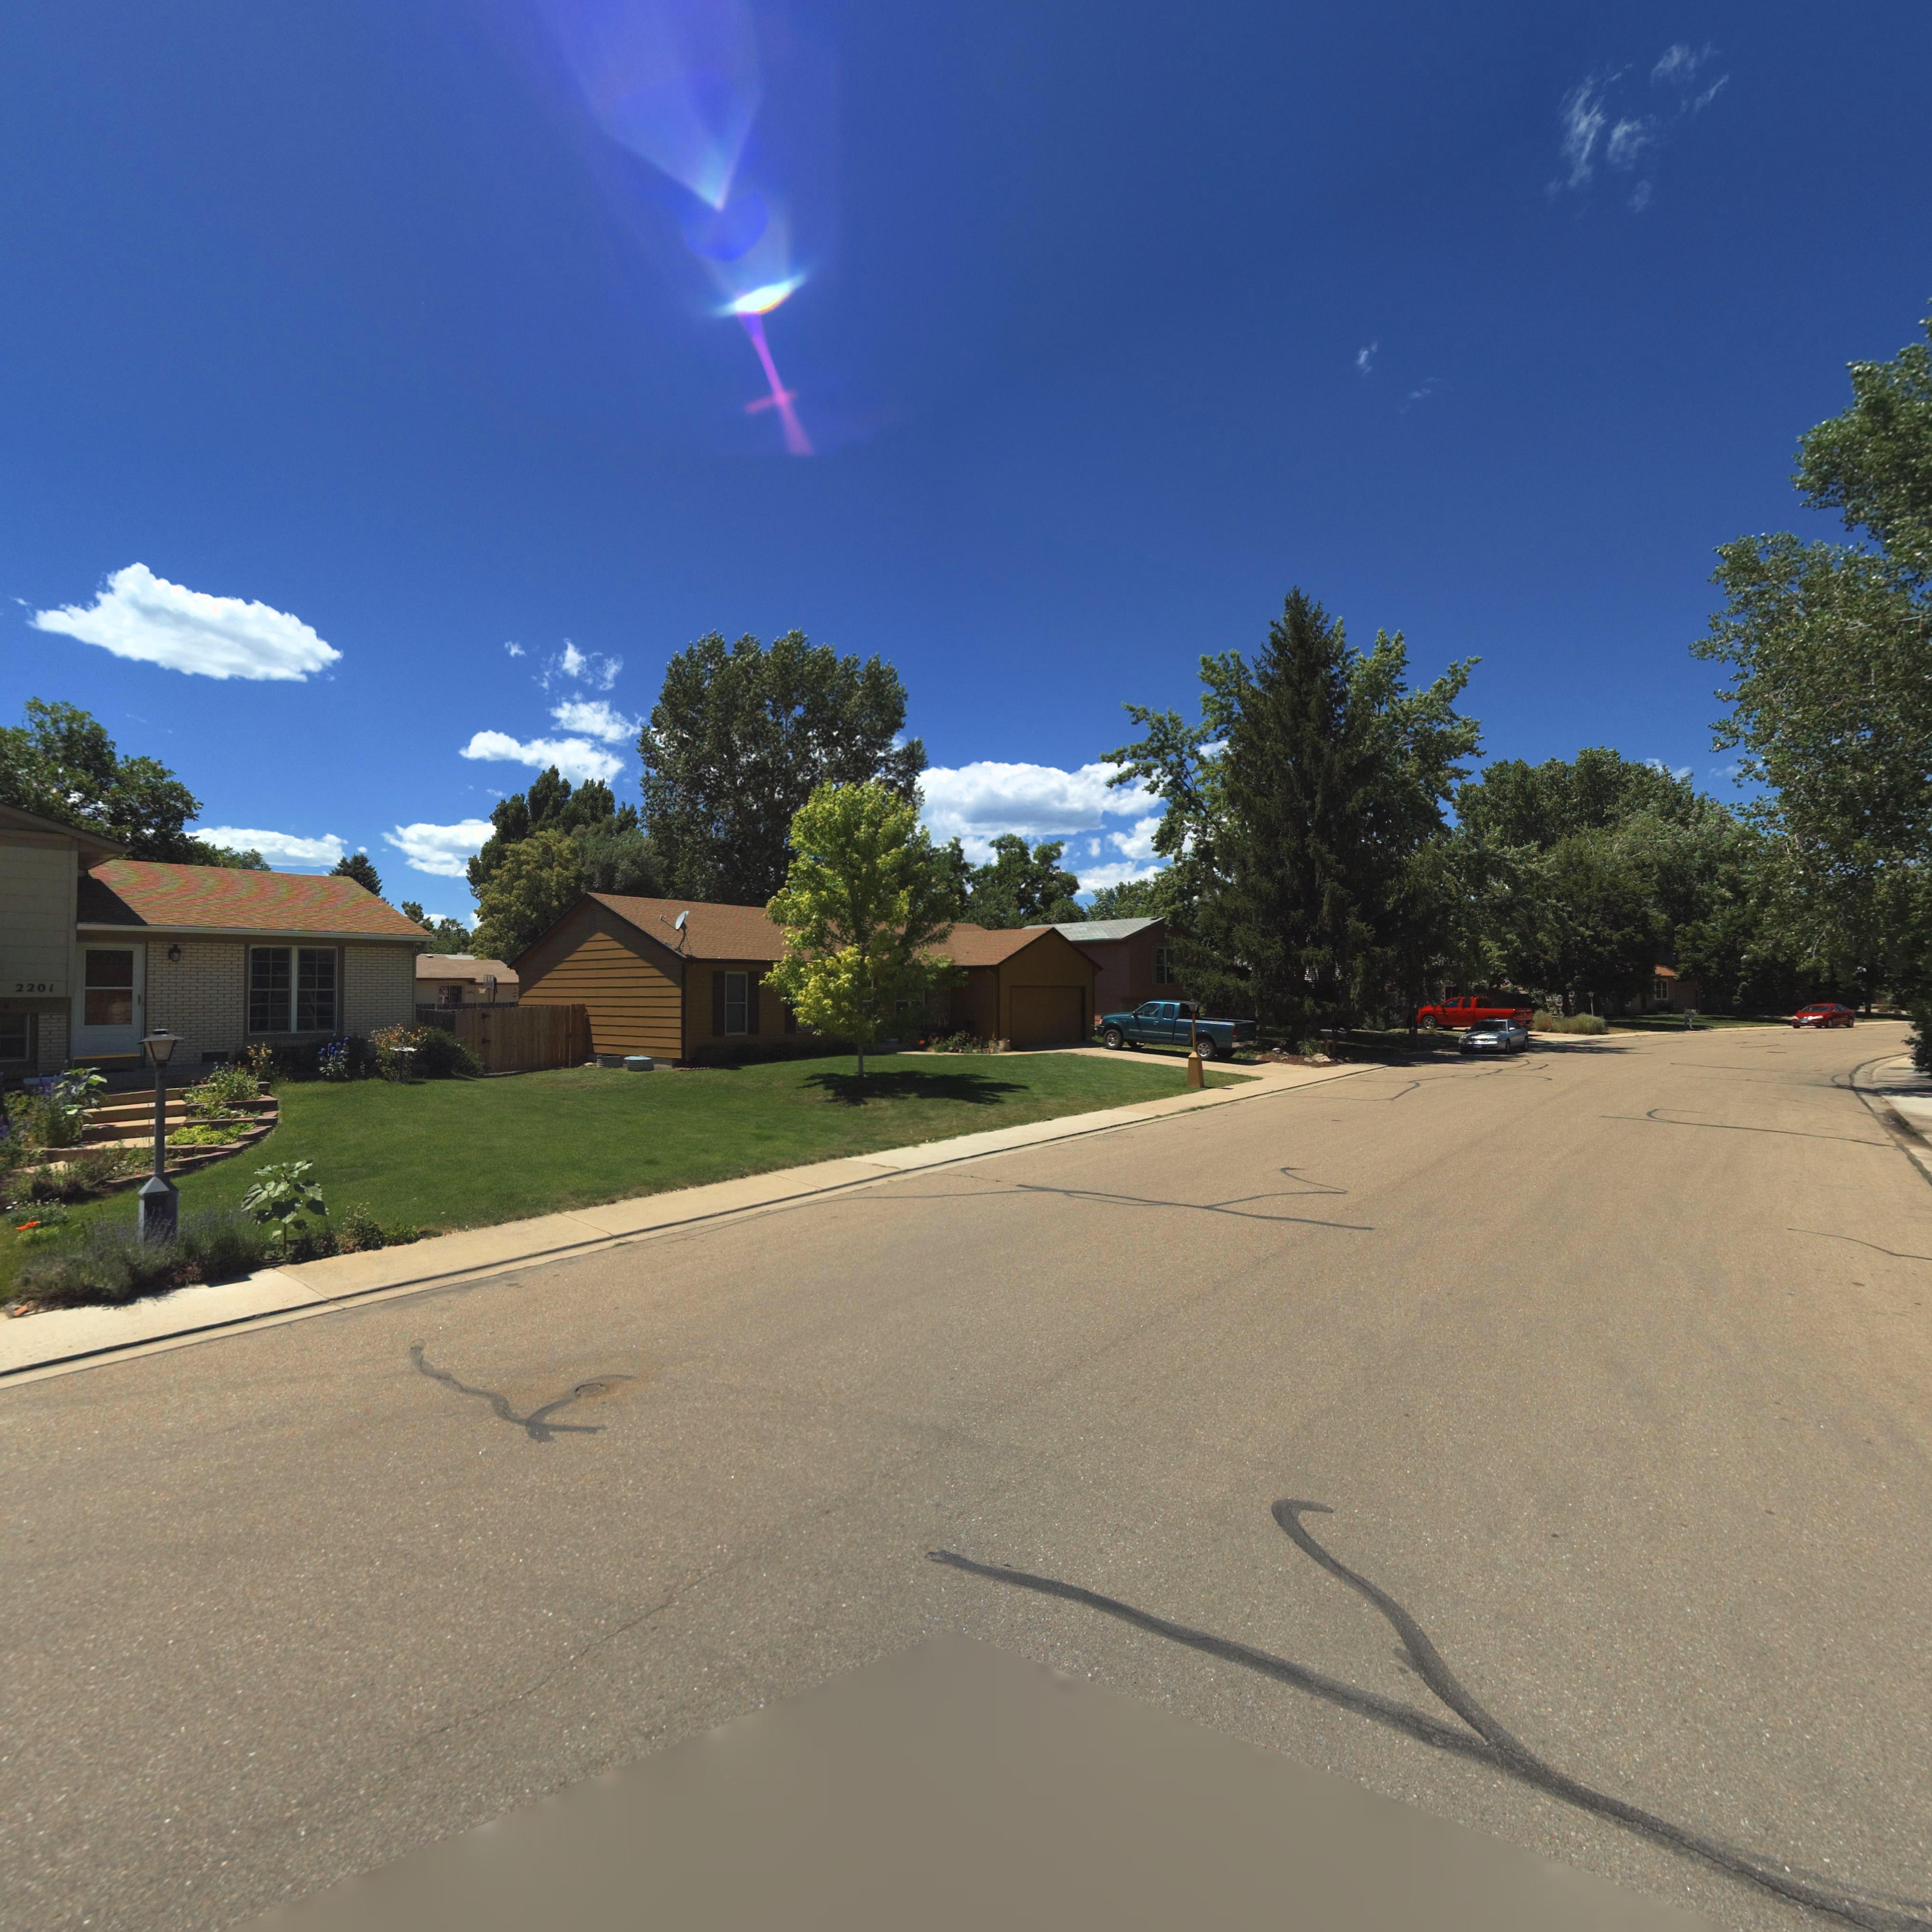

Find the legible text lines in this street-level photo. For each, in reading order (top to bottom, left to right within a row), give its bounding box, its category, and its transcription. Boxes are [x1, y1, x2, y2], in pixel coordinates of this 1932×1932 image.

[16, 983, 53, 992] StreetNumber: 2201